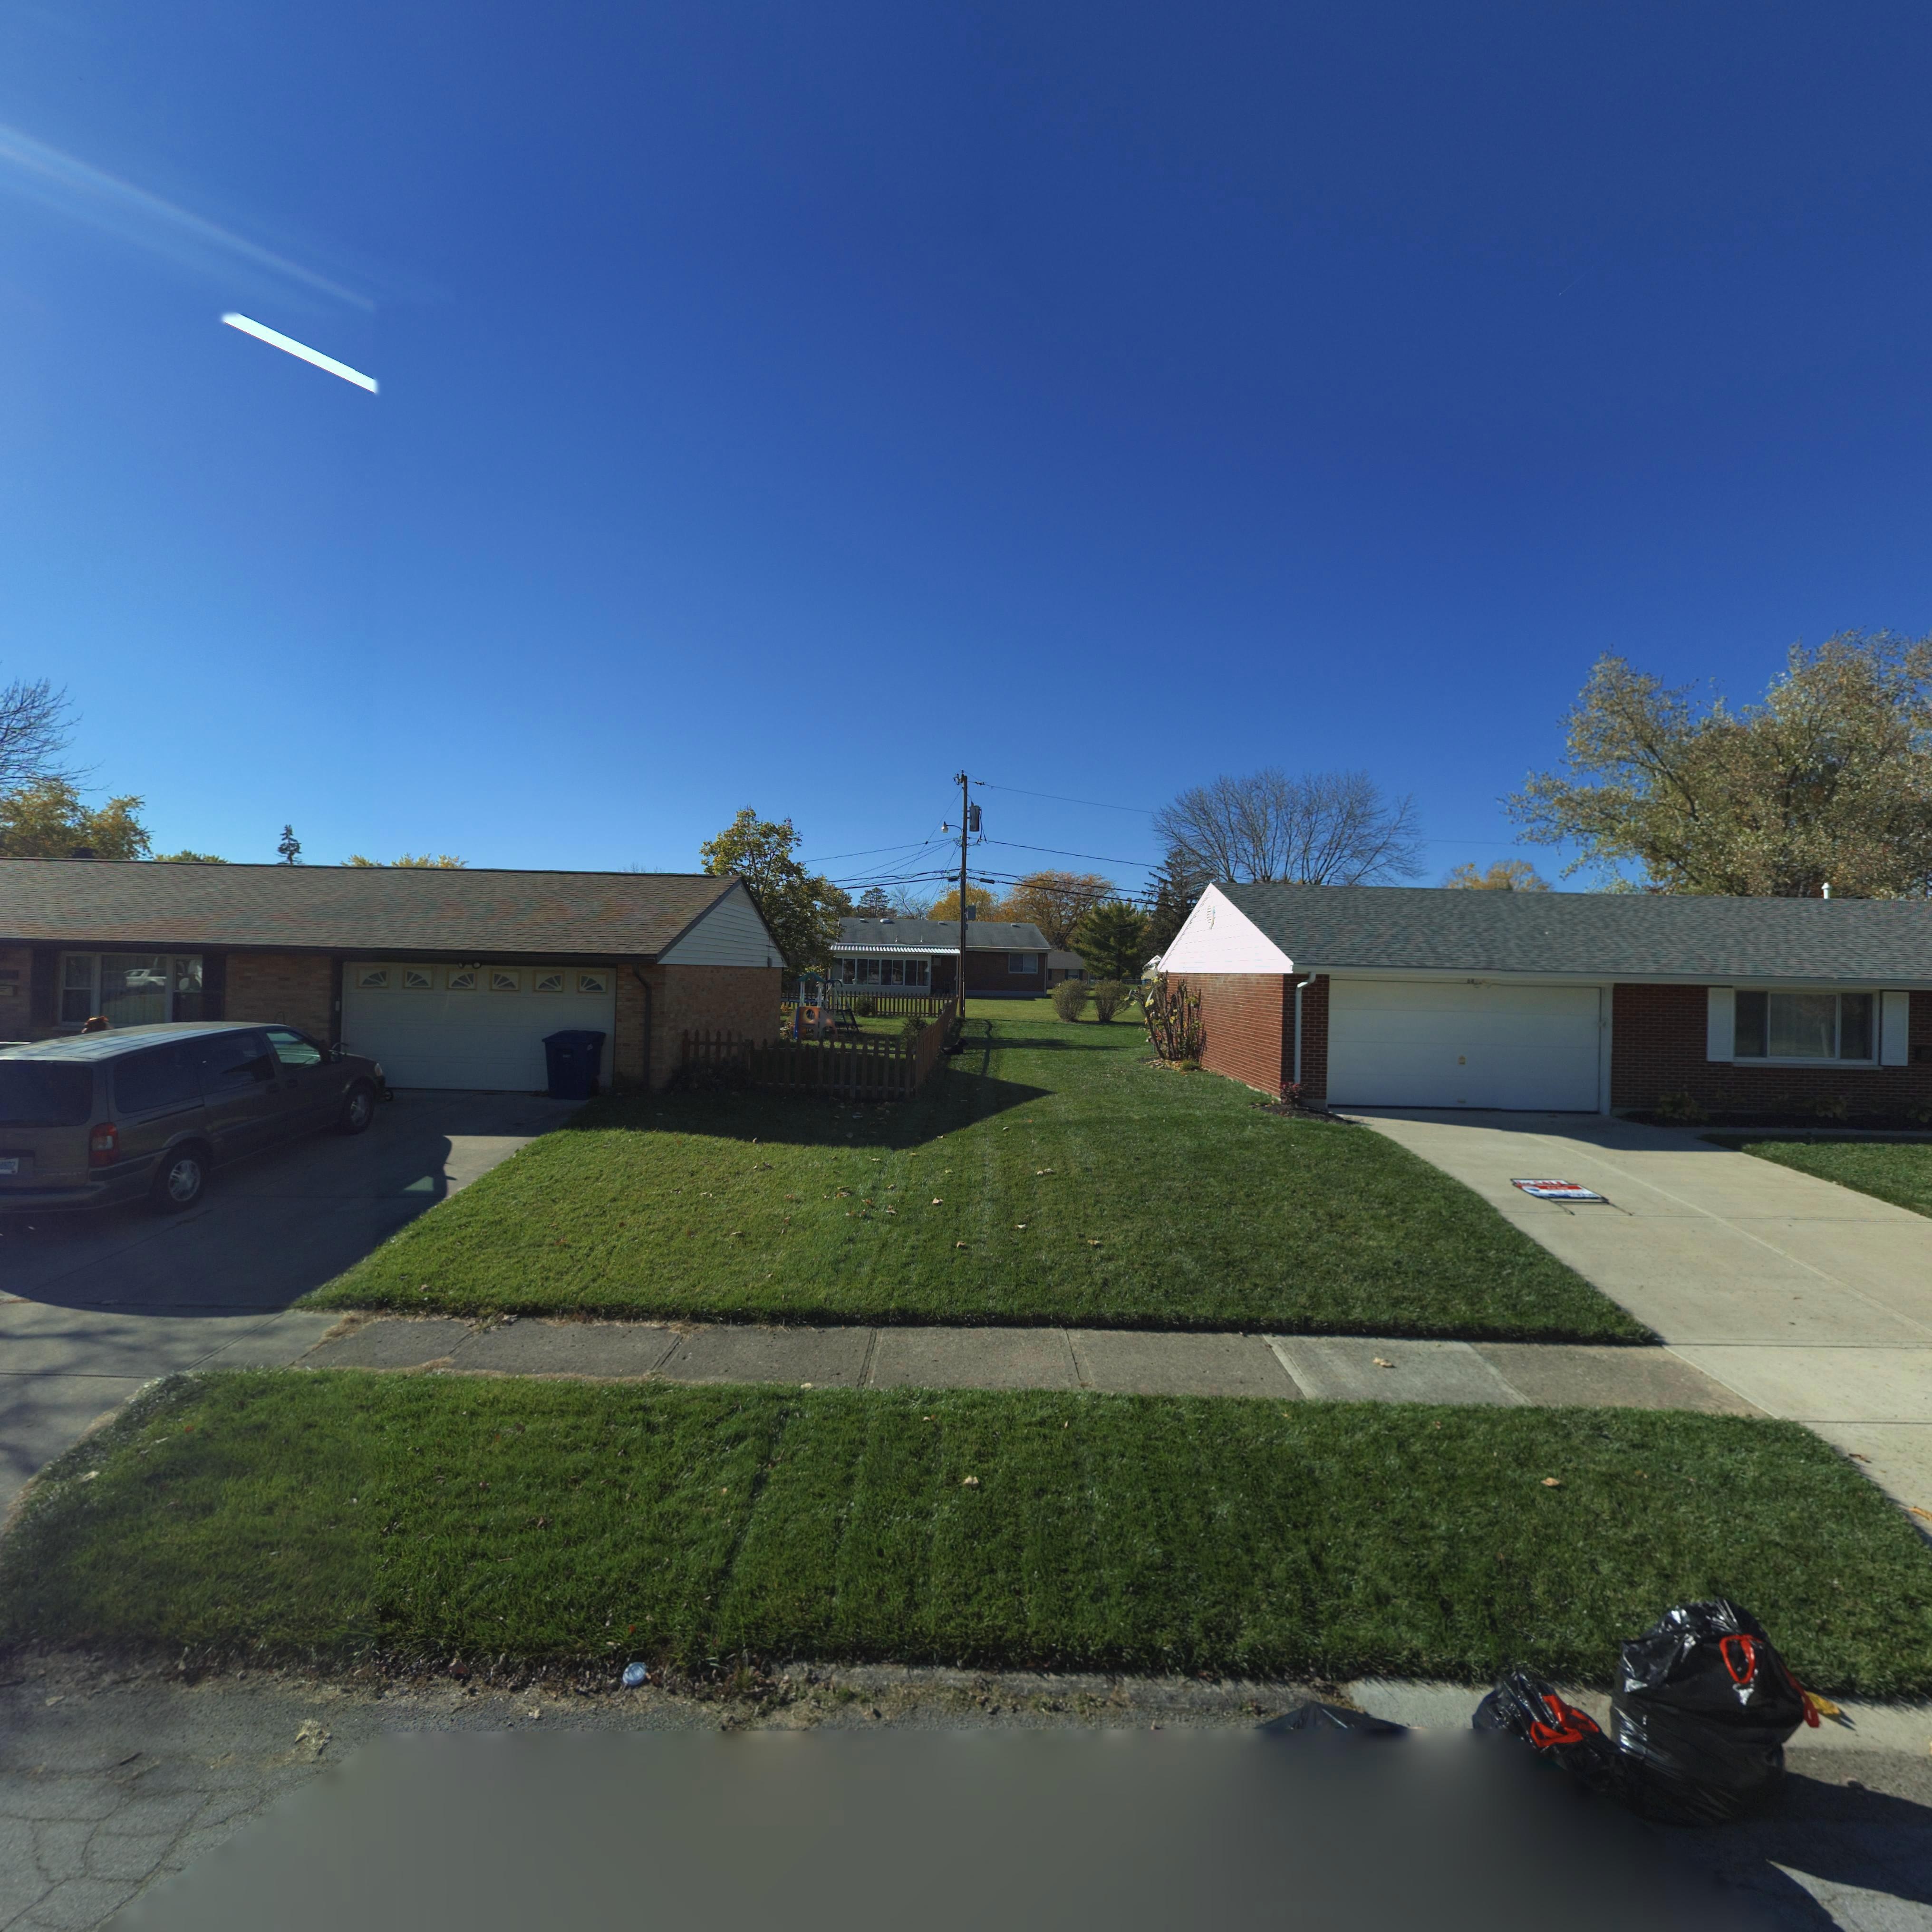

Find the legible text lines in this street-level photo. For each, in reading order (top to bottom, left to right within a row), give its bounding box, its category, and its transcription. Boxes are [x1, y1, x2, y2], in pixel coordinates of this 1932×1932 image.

[1467, 978, 1475, 985] StreetNumber: 6*
[6, 1160, 17, 1170] None: 02